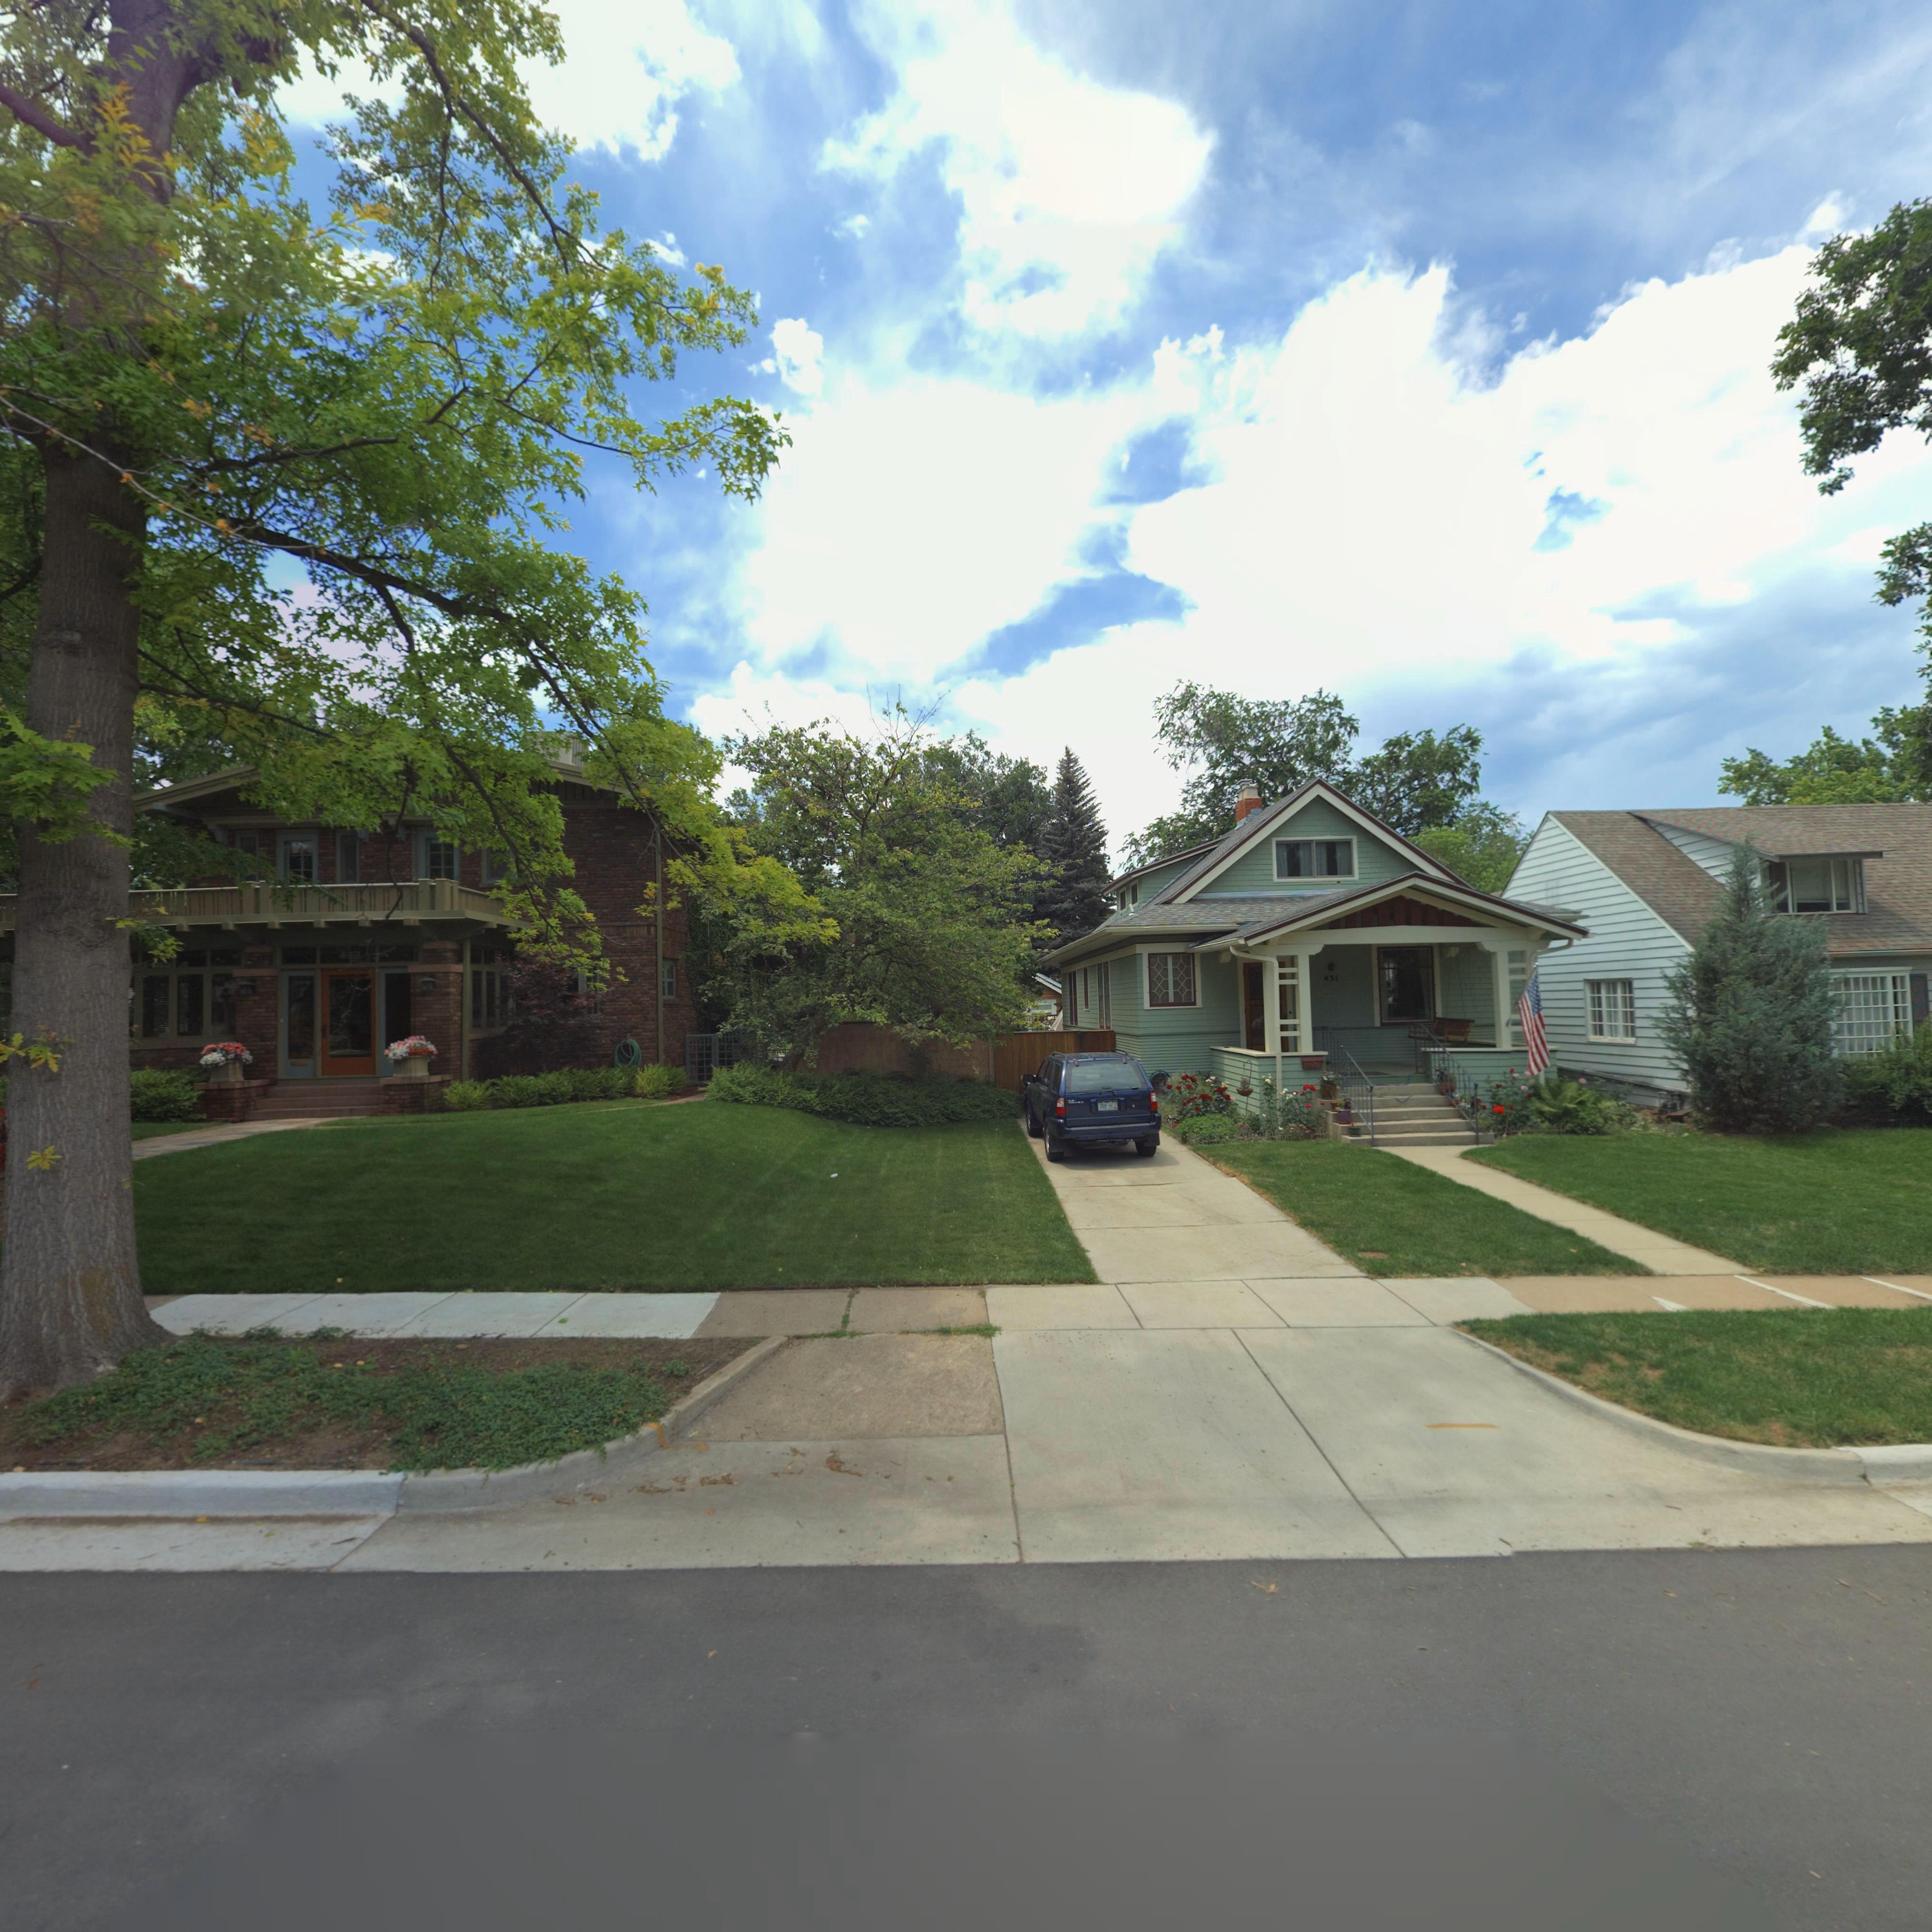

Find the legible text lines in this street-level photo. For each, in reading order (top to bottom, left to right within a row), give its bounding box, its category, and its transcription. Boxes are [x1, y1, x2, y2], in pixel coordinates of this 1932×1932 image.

[1322, 974, 1338, 982] StreetNumber: 431